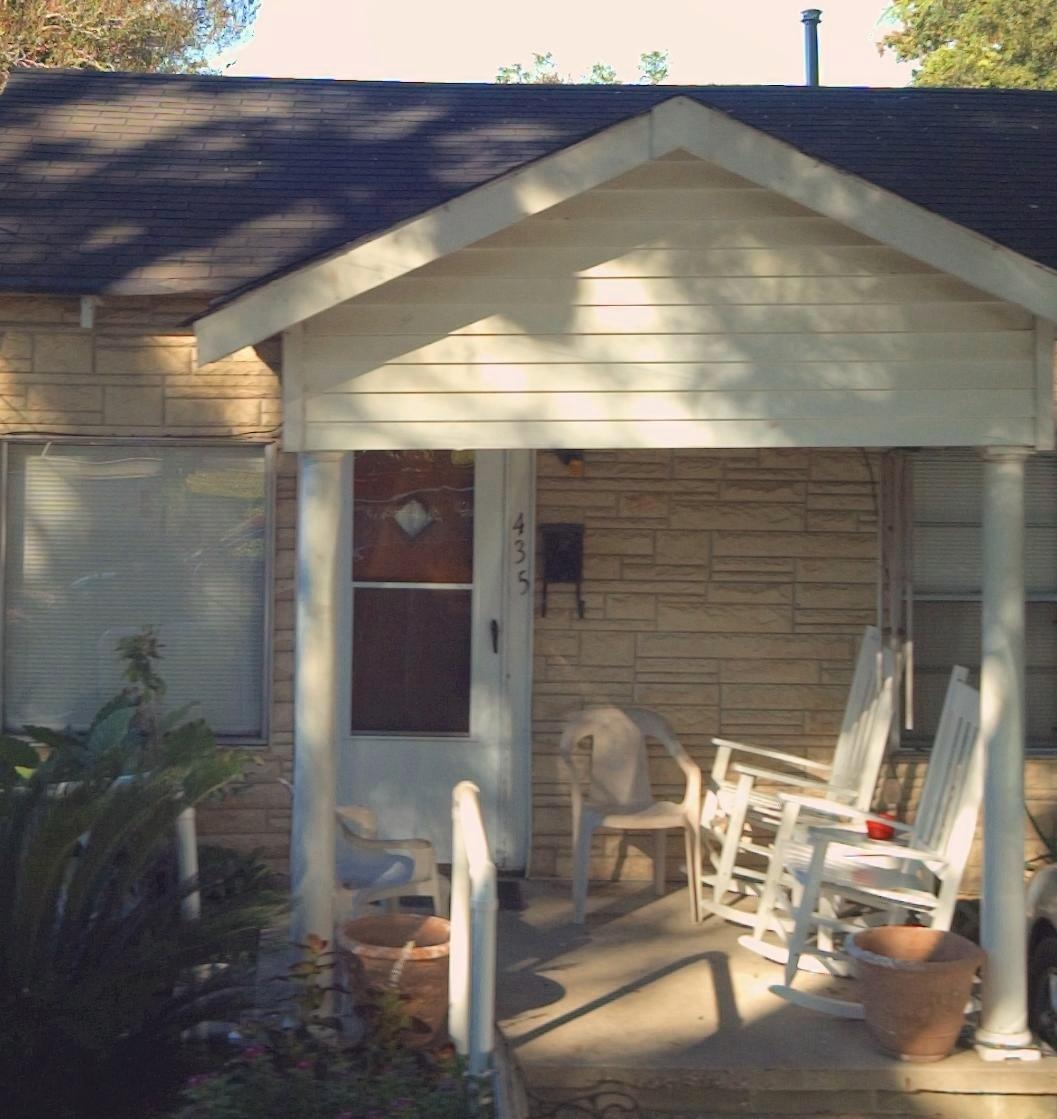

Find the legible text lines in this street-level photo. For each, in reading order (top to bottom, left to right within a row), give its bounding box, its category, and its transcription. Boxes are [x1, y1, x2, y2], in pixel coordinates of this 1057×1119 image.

[510, 510, 532, 597] StreetNumber: 435